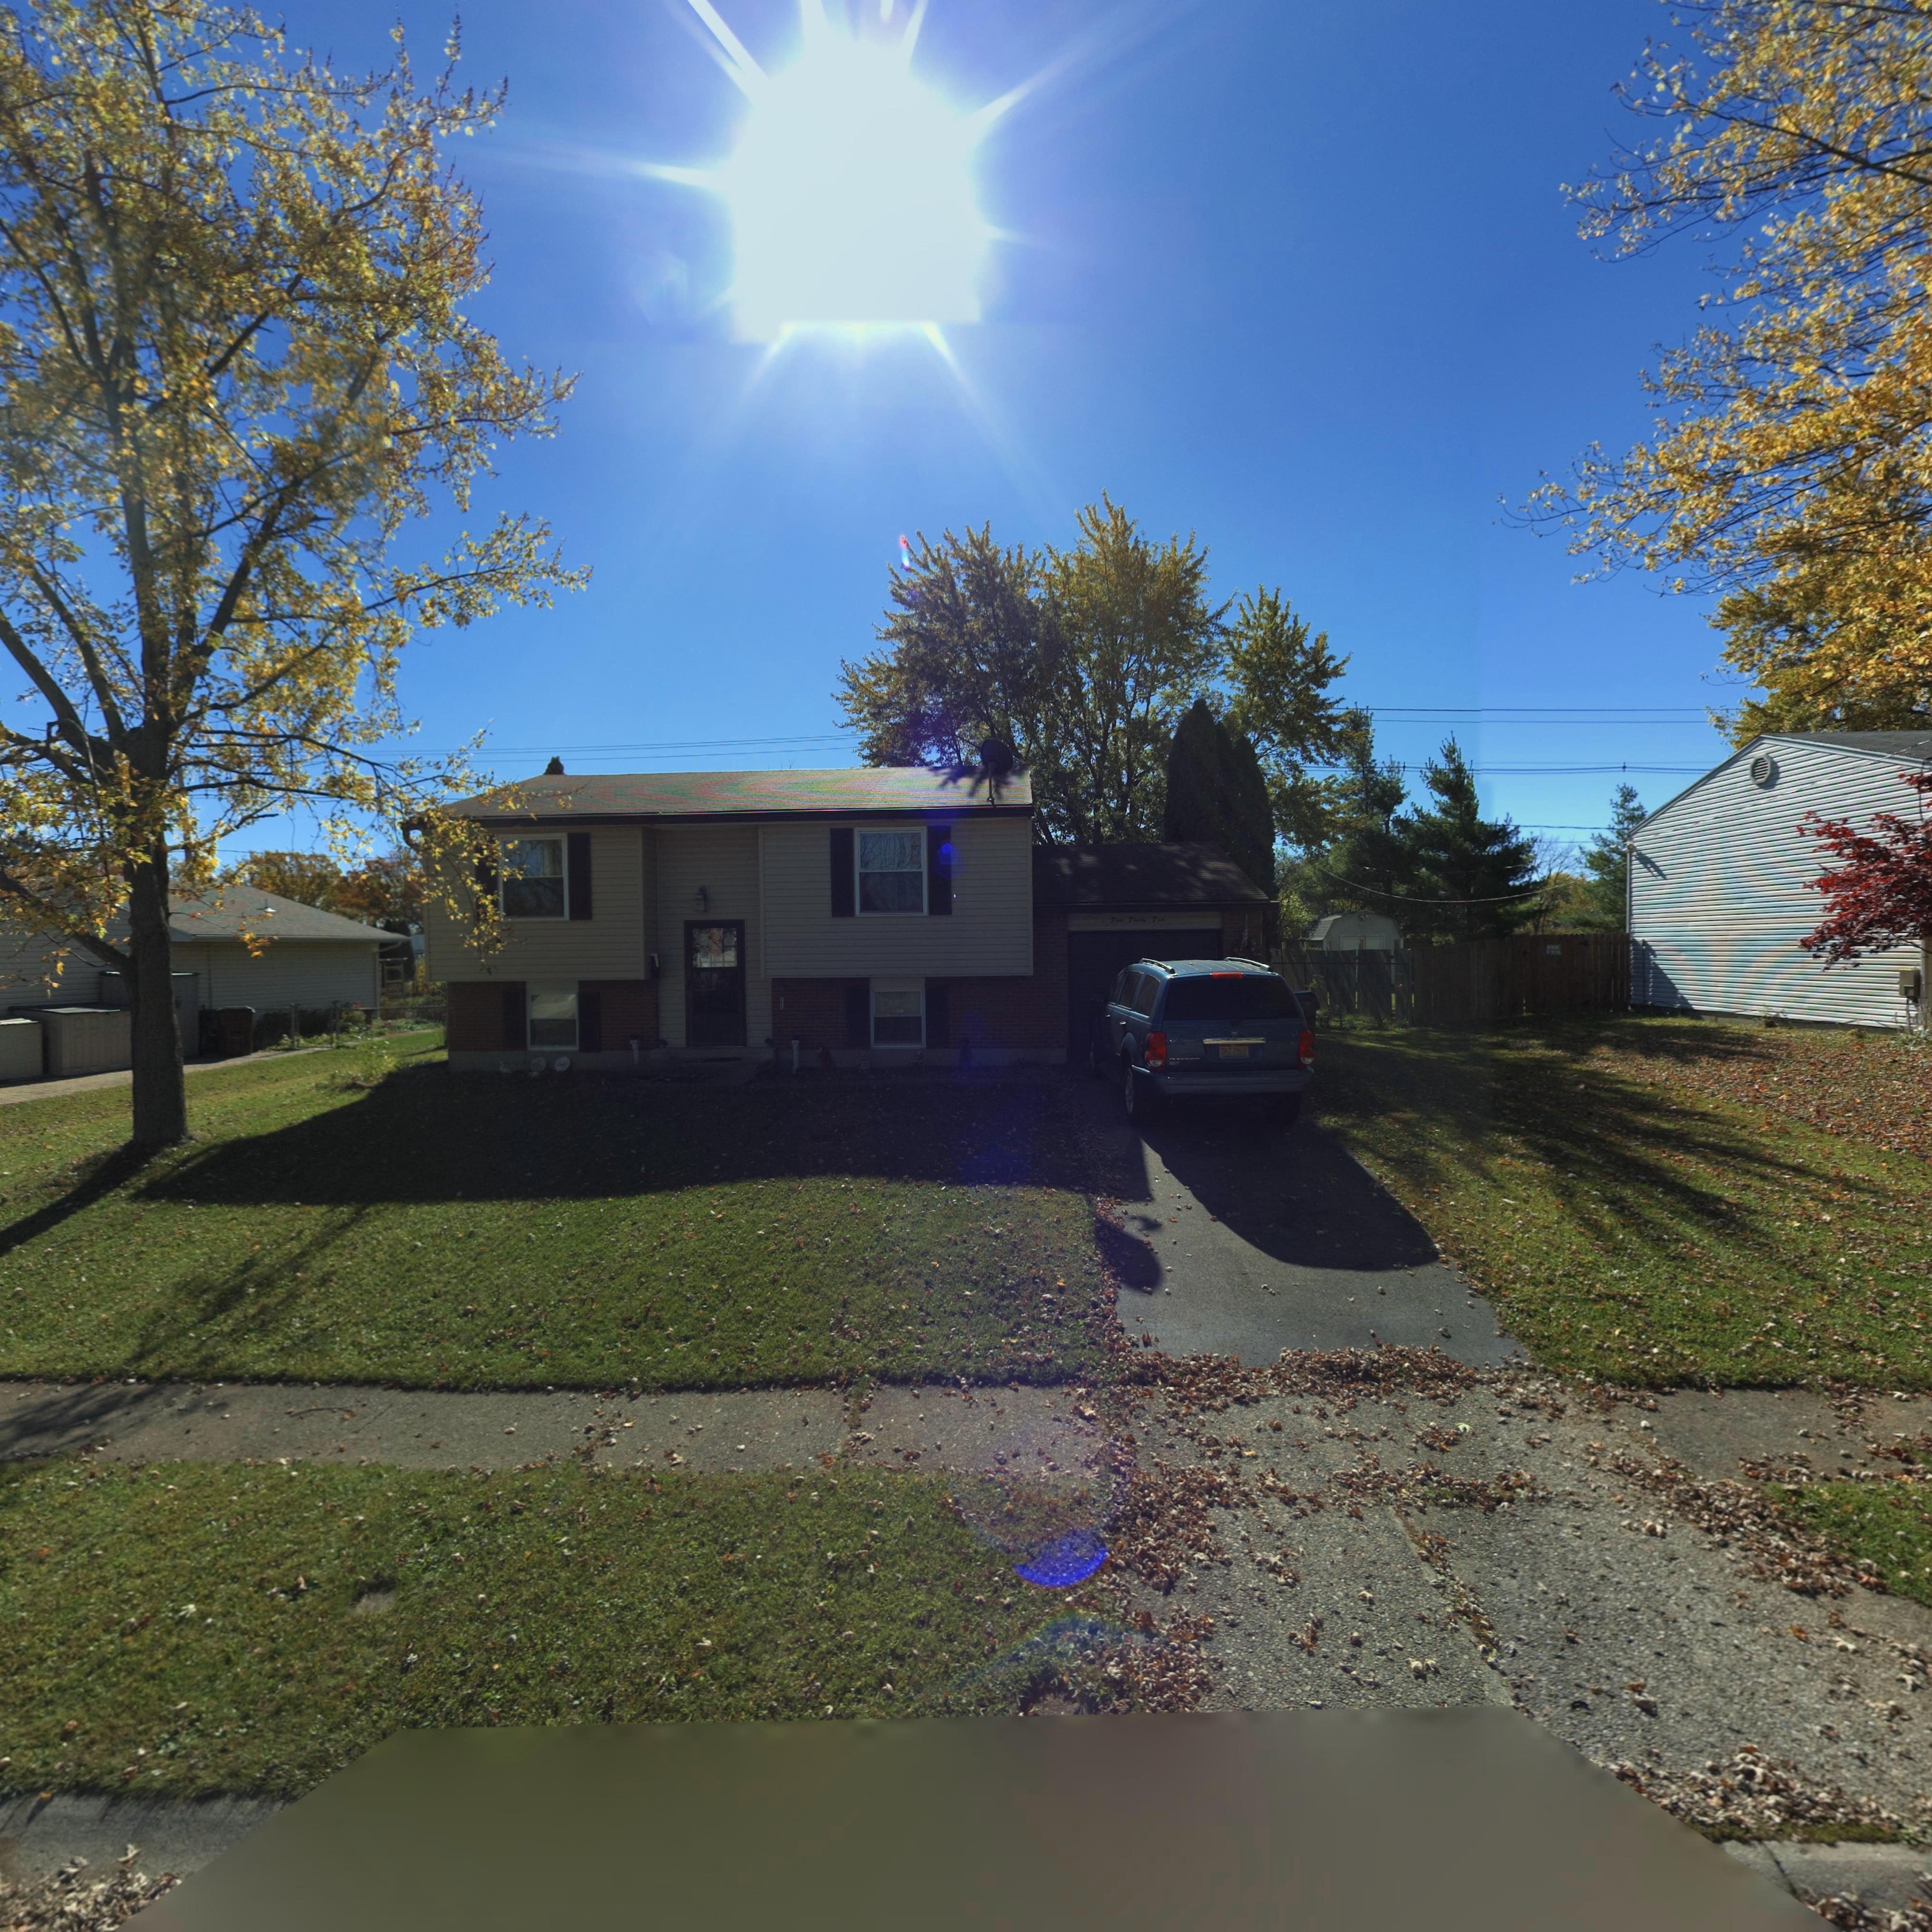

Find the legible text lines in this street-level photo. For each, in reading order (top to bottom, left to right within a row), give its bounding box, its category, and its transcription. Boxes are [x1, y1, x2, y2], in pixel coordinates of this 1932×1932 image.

[1110, 917, 1118, 923] StreetNumber: T
[1128, 916, 1136, 923] StreetNumber: T
[1152, 916, 1165, 922] StreetNumber: Two